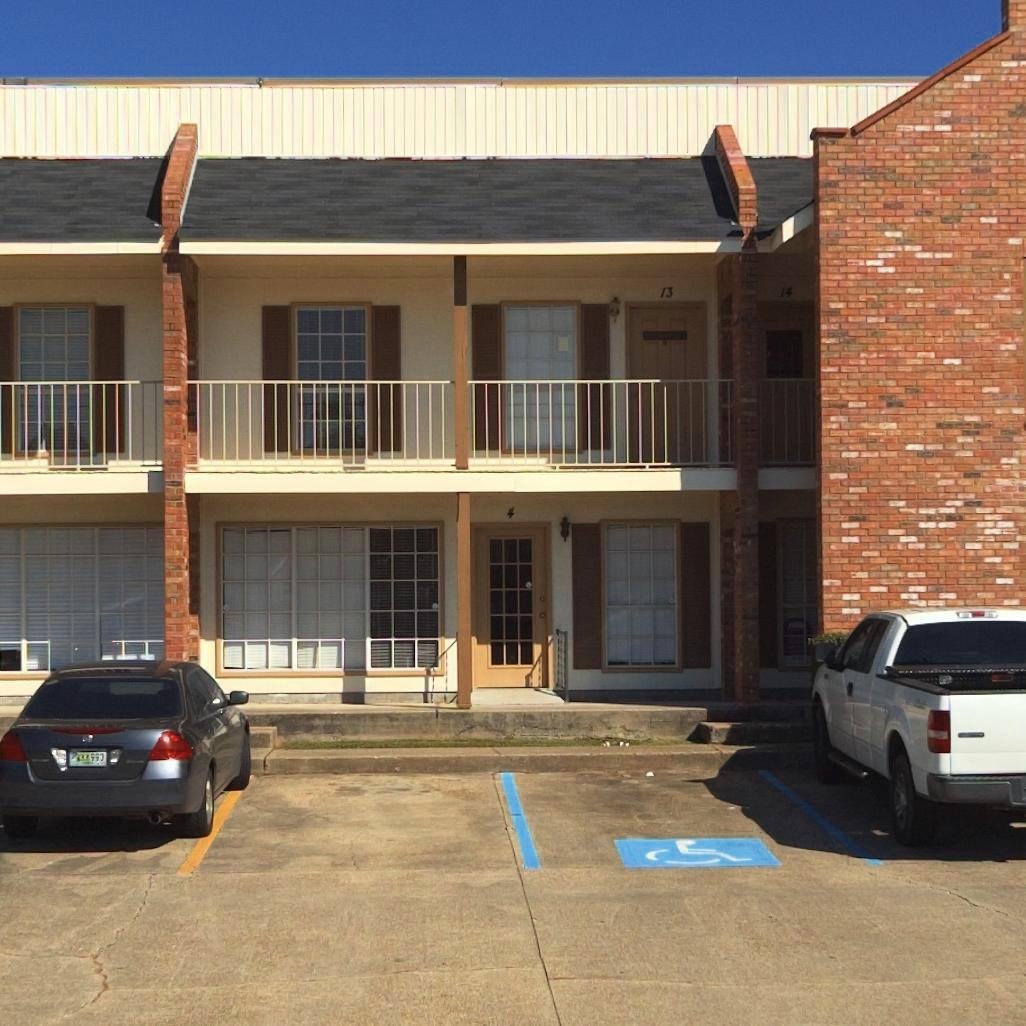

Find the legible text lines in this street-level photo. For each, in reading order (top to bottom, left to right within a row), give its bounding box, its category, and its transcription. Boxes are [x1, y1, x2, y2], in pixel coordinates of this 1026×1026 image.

[656, 284, 676, 301] StreetNumber: 13
[777, 283, 795, 301] StreetNumber: 14
[503, 504, 517, 521] StreetNumber: 4
[88, 751, 106, 764] None: 993